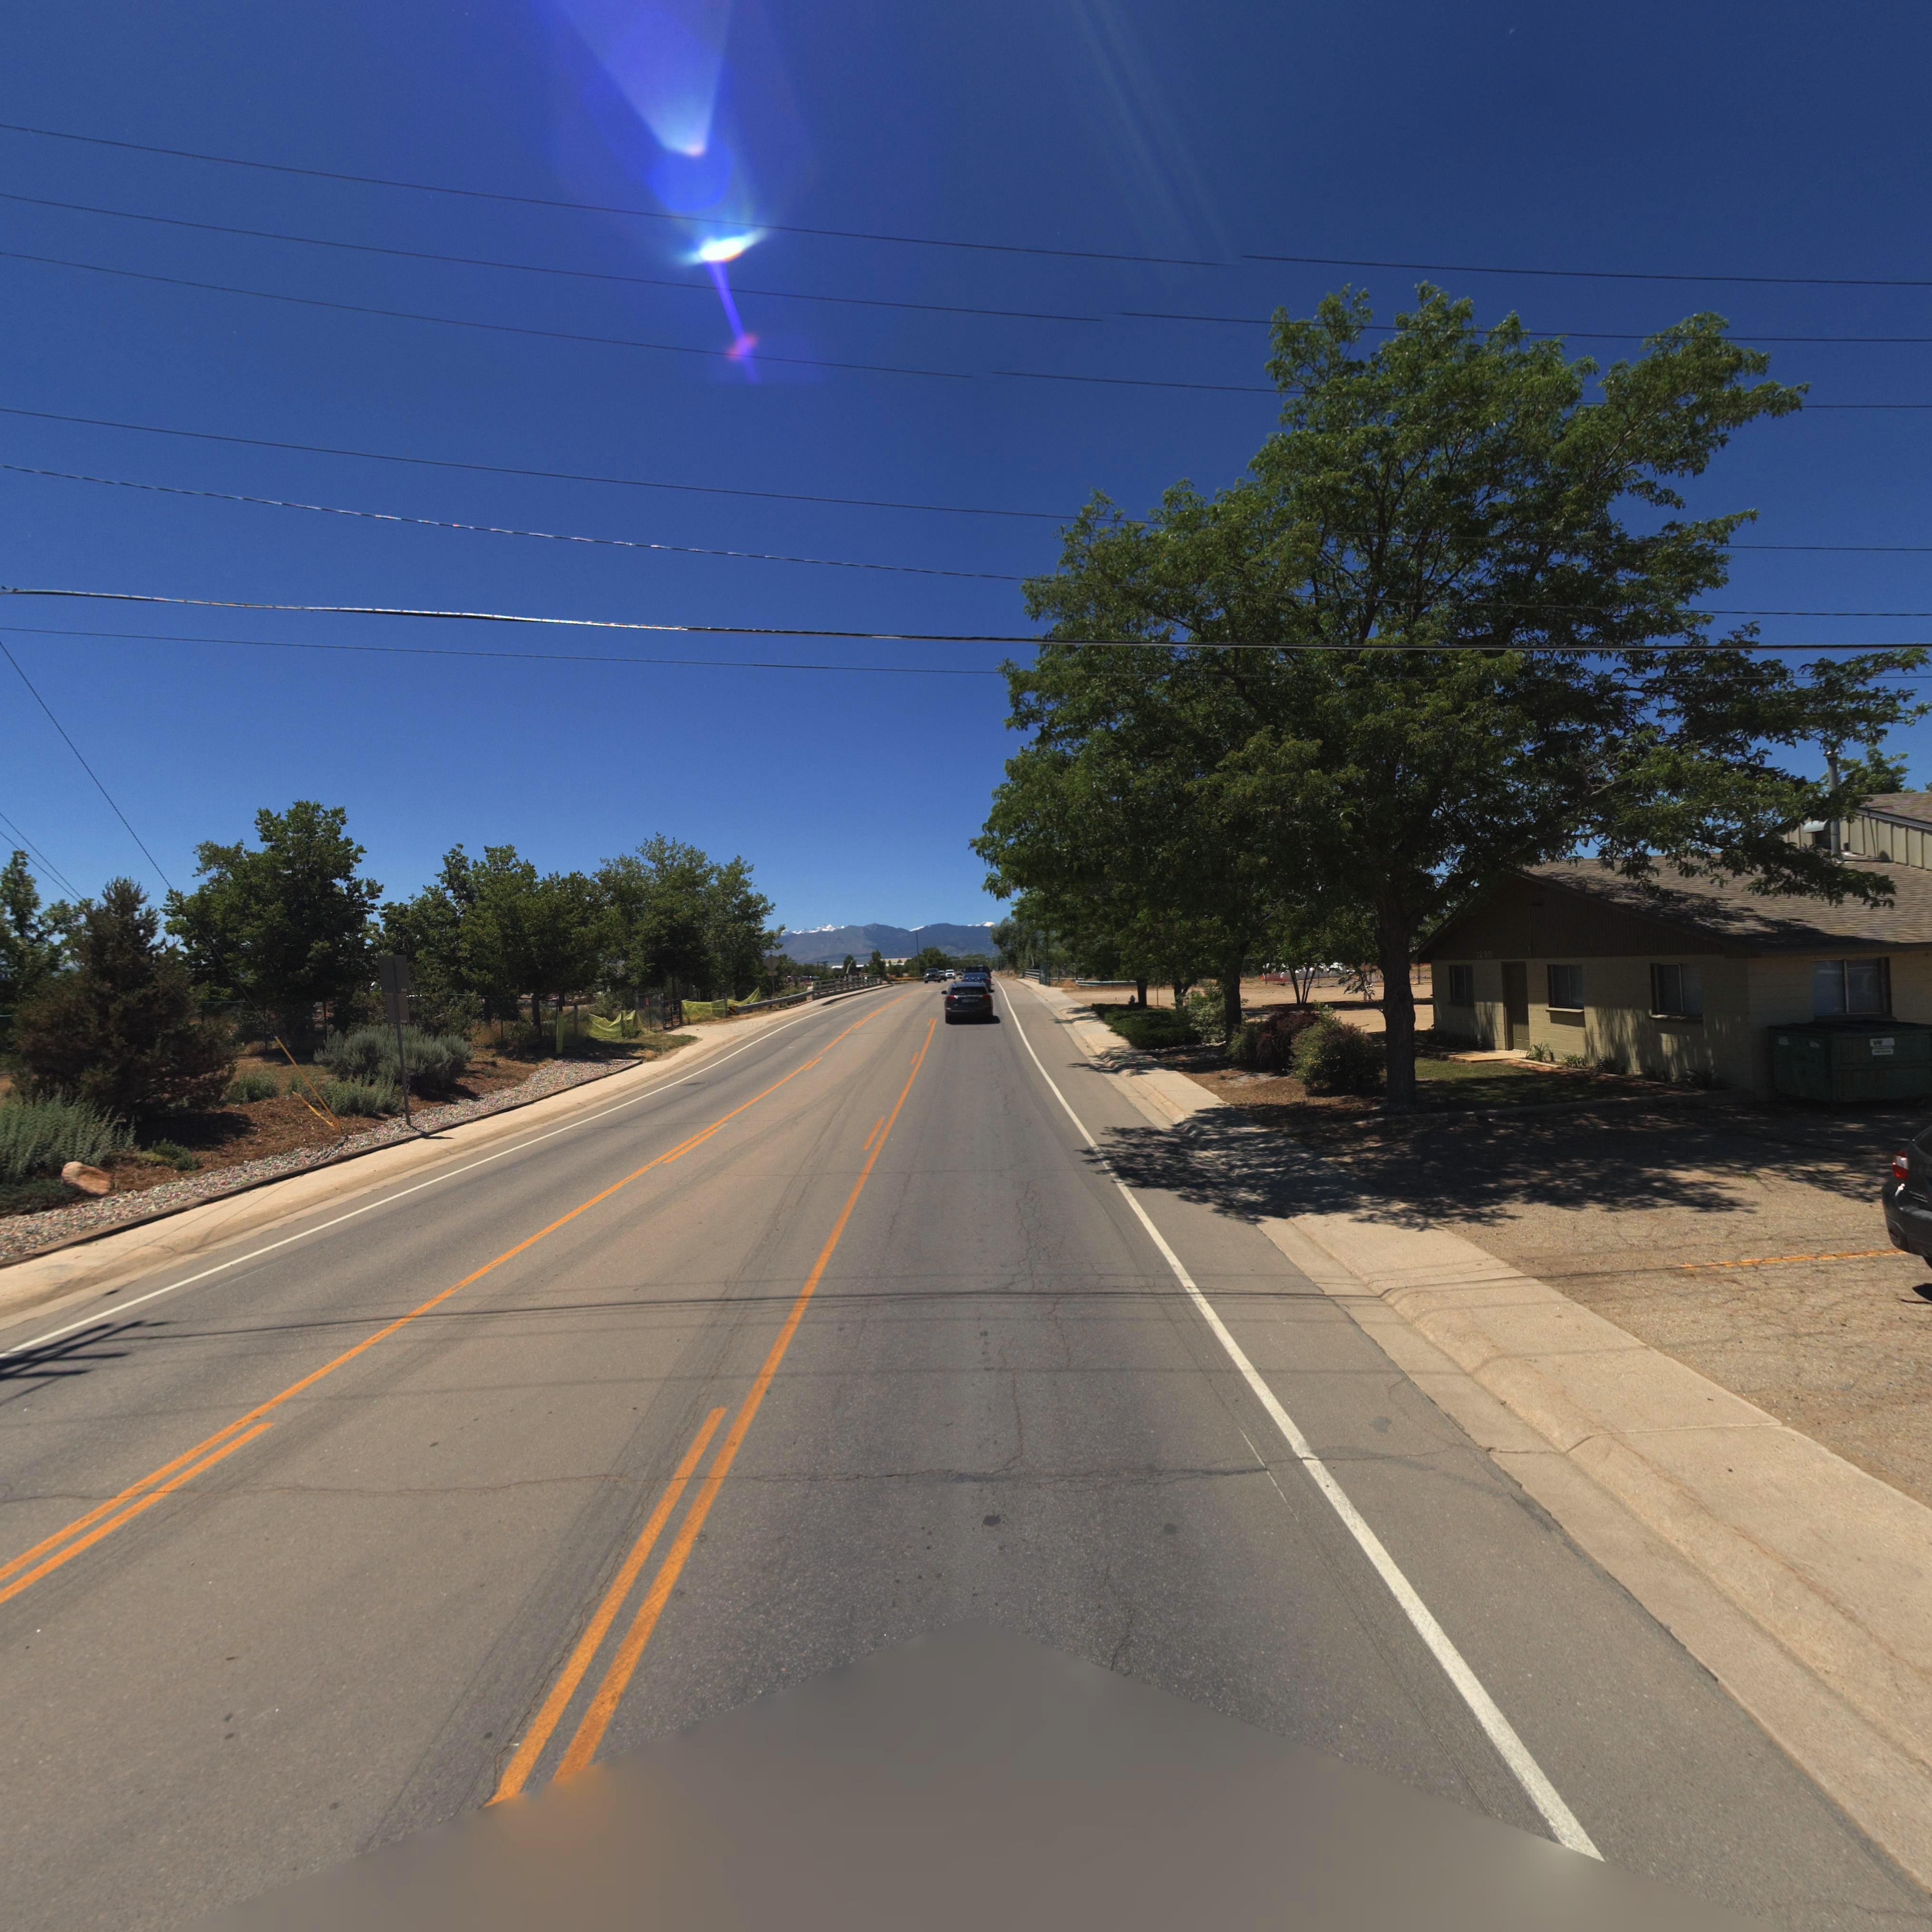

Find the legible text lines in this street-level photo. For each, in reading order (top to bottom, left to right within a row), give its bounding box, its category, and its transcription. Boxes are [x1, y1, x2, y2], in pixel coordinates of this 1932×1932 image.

[1476, 950, 1492, 958] StreetNumber: 1290